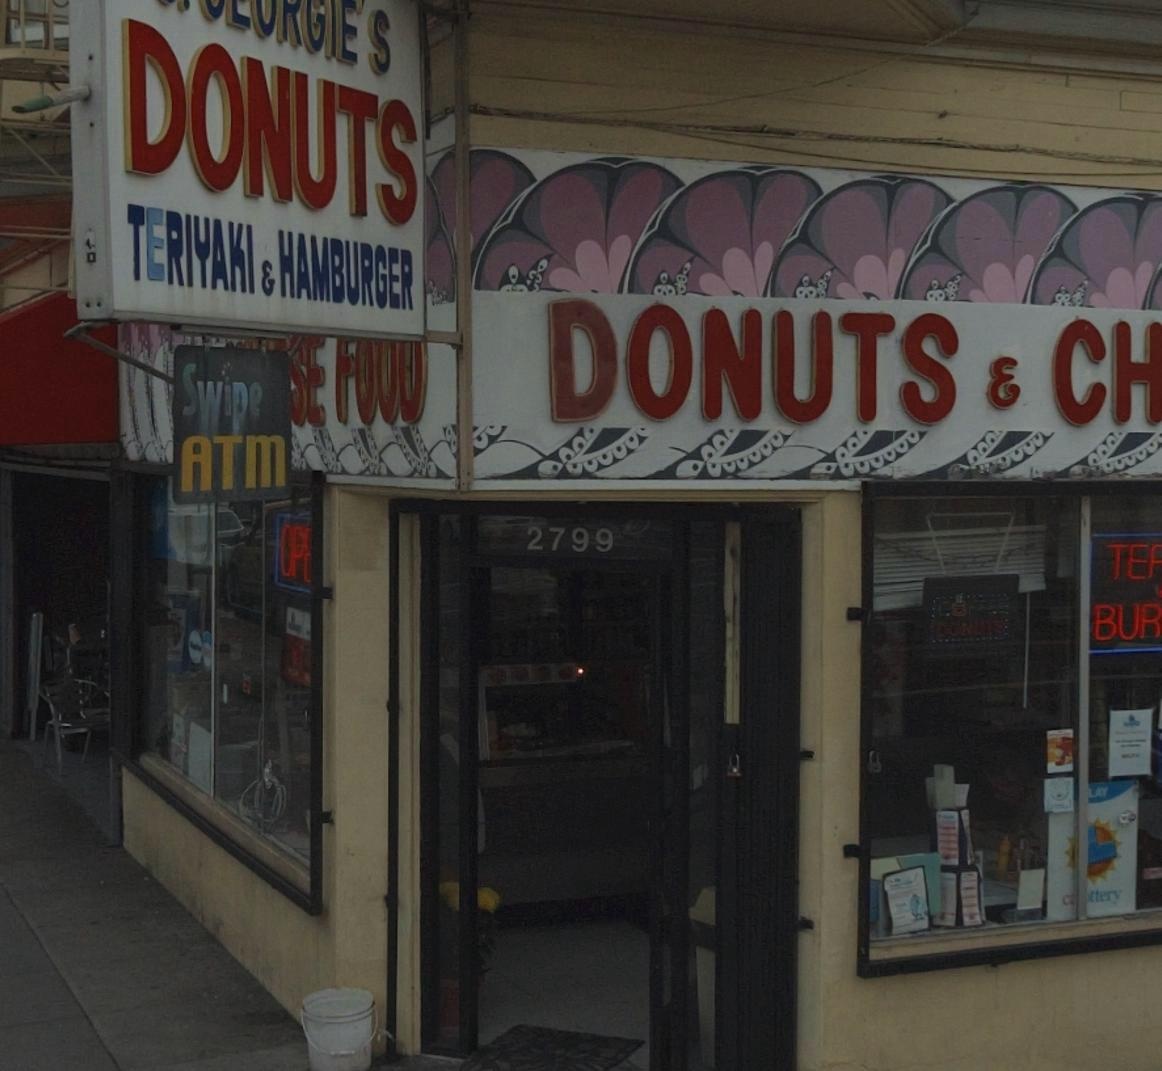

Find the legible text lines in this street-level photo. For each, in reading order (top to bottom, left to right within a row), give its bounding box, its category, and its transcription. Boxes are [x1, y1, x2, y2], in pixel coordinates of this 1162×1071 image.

[367, 7, 394, 79] BusinessName: S
[125, 14, 420, 231] BusinessName: DONUTS
[124, 201, 415, 312] None: TERIYAKI&HAMBURGER
[548, 298, 1111, 430] None: DONUTS & C
[180, 361, 265, 435] None: S*ipe
[179, 432, 287, 493] None: ATM
[278, 523, 307, 580] None: OP
[525, 524, 616, 555] StreetNumber: 2799
[1104, 542, 1151, 582] None: TE
[935, 618, 1007, 641] None: DONUTS
[1092, 601, 1161, 642] None: BUR
[1093, 785, 1110, 798] None: AY
[1089, 888, 1126, 906] None: ttery